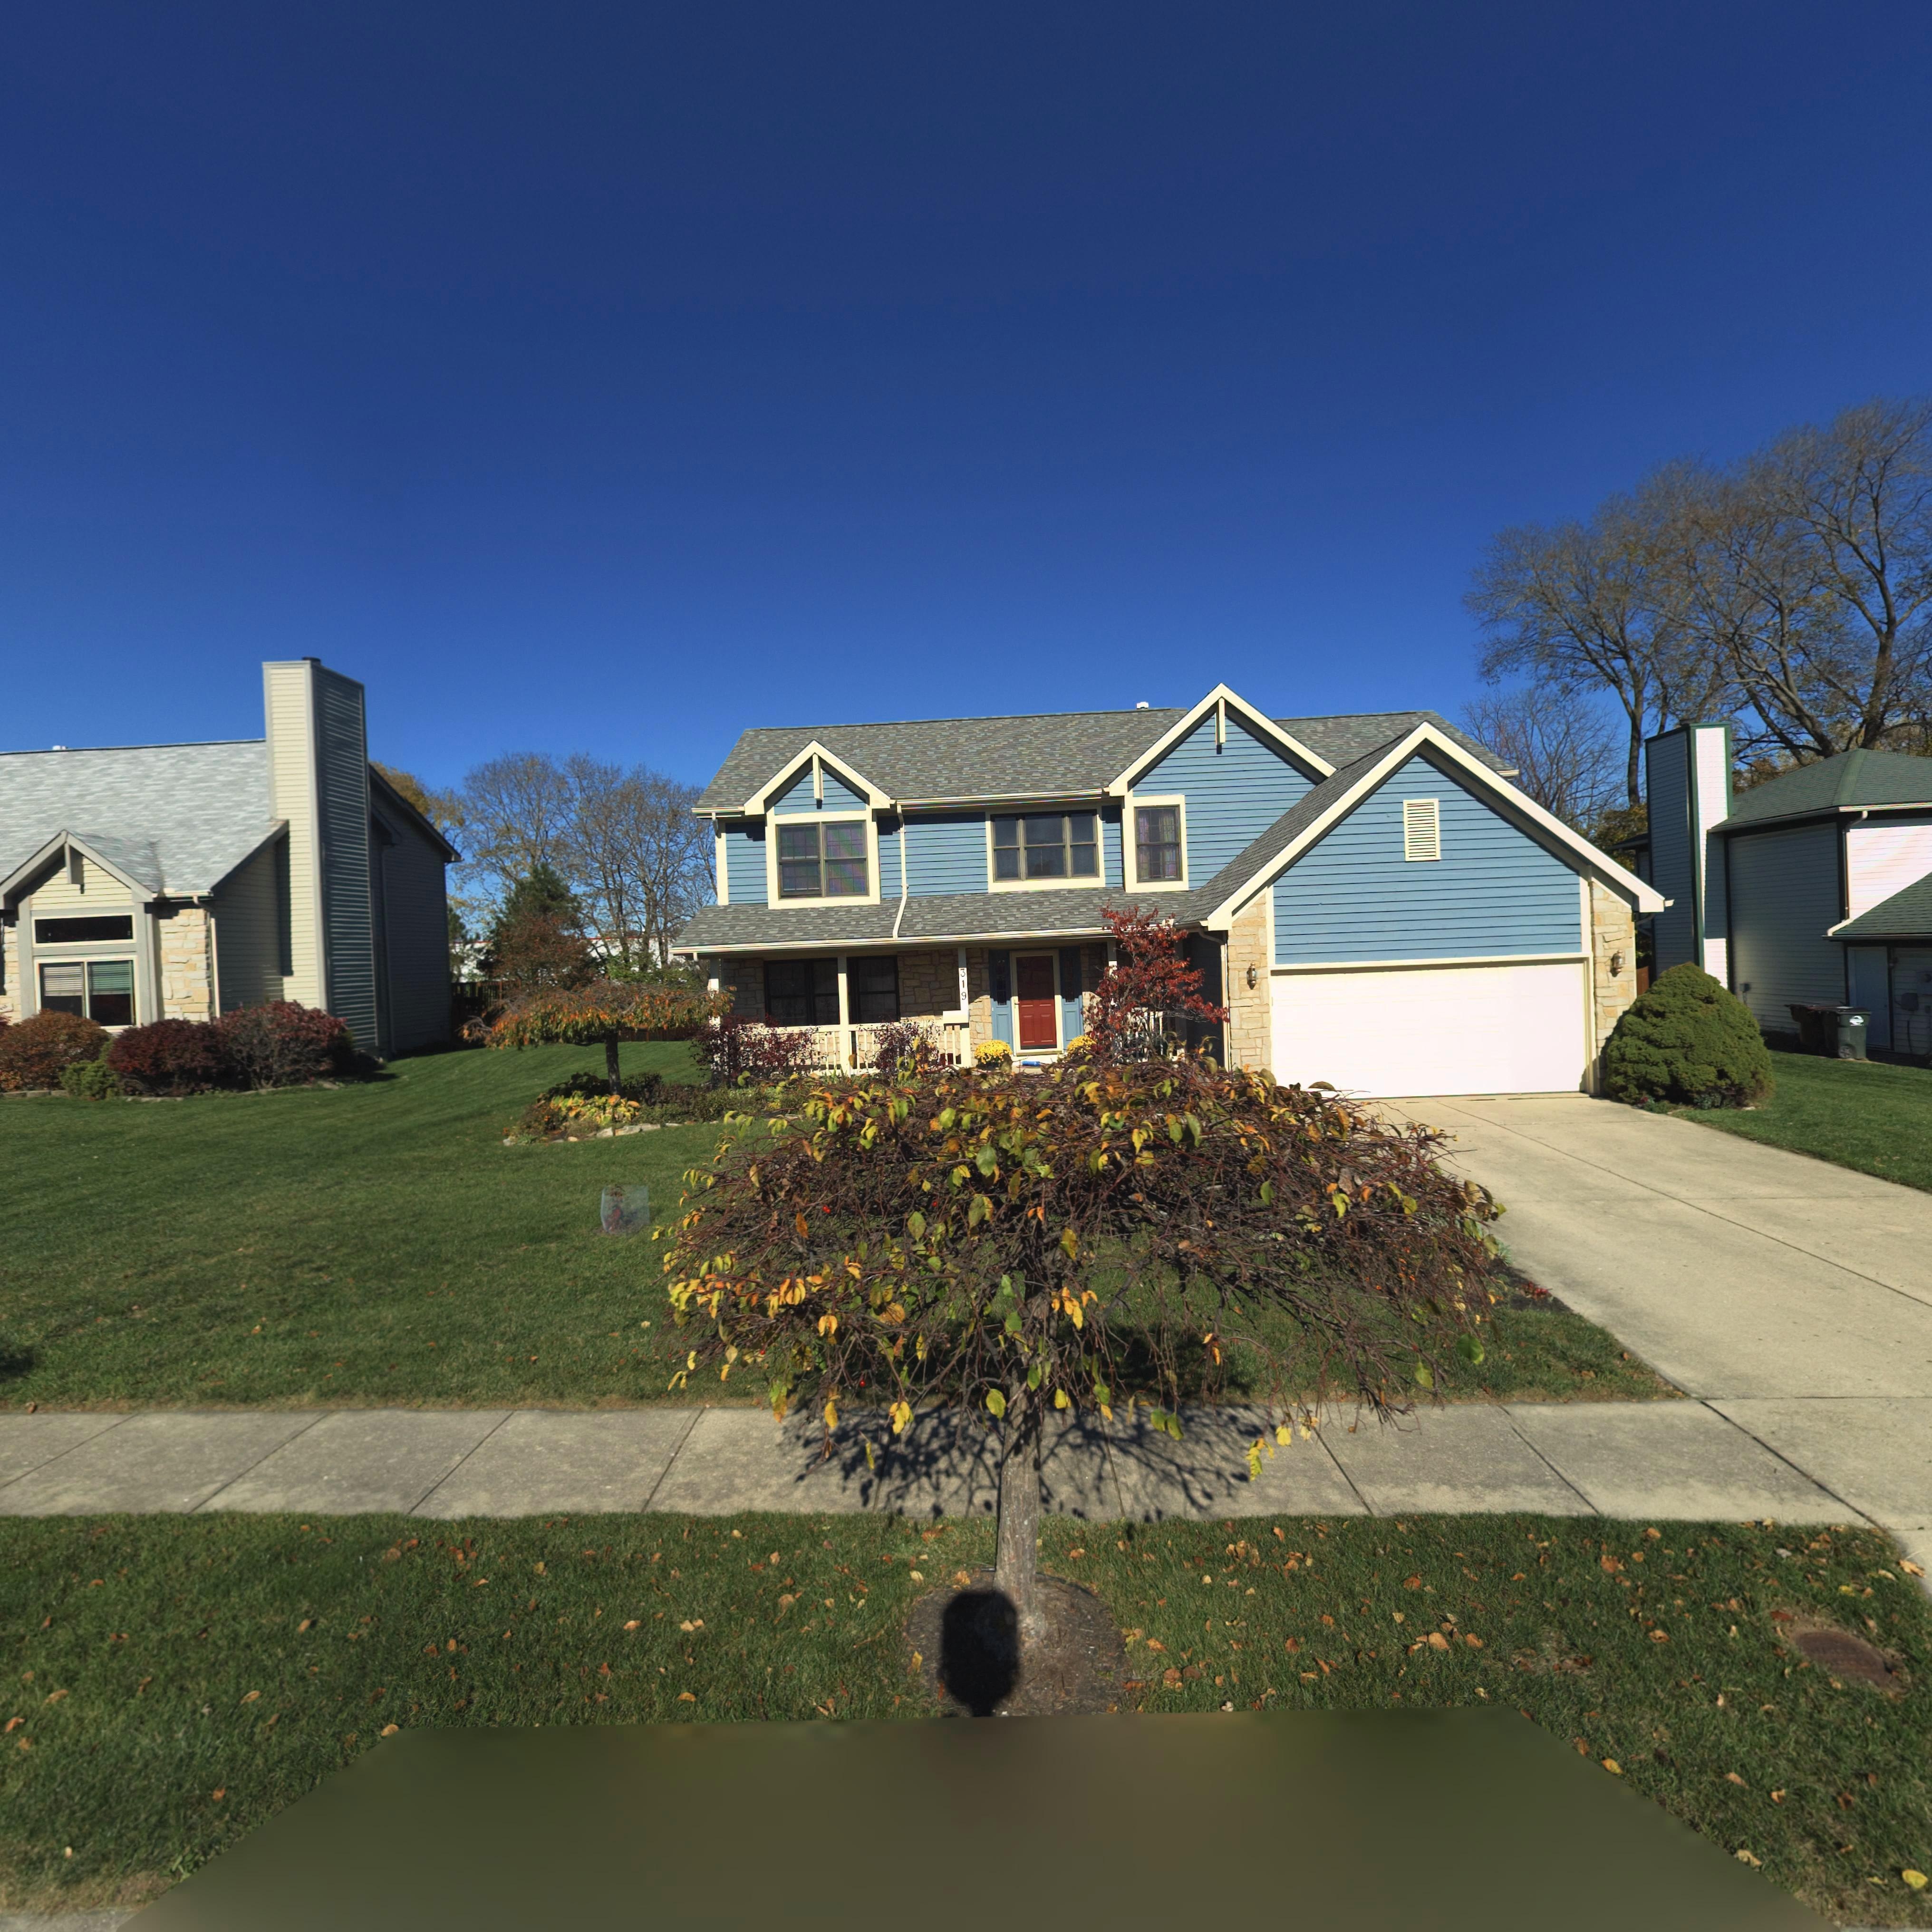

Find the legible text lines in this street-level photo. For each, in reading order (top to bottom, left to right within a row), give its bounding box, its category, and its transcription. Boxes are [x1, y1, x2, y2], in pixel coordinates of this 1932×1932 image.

[959, 967, 967, 1001] StreetNumber: 319